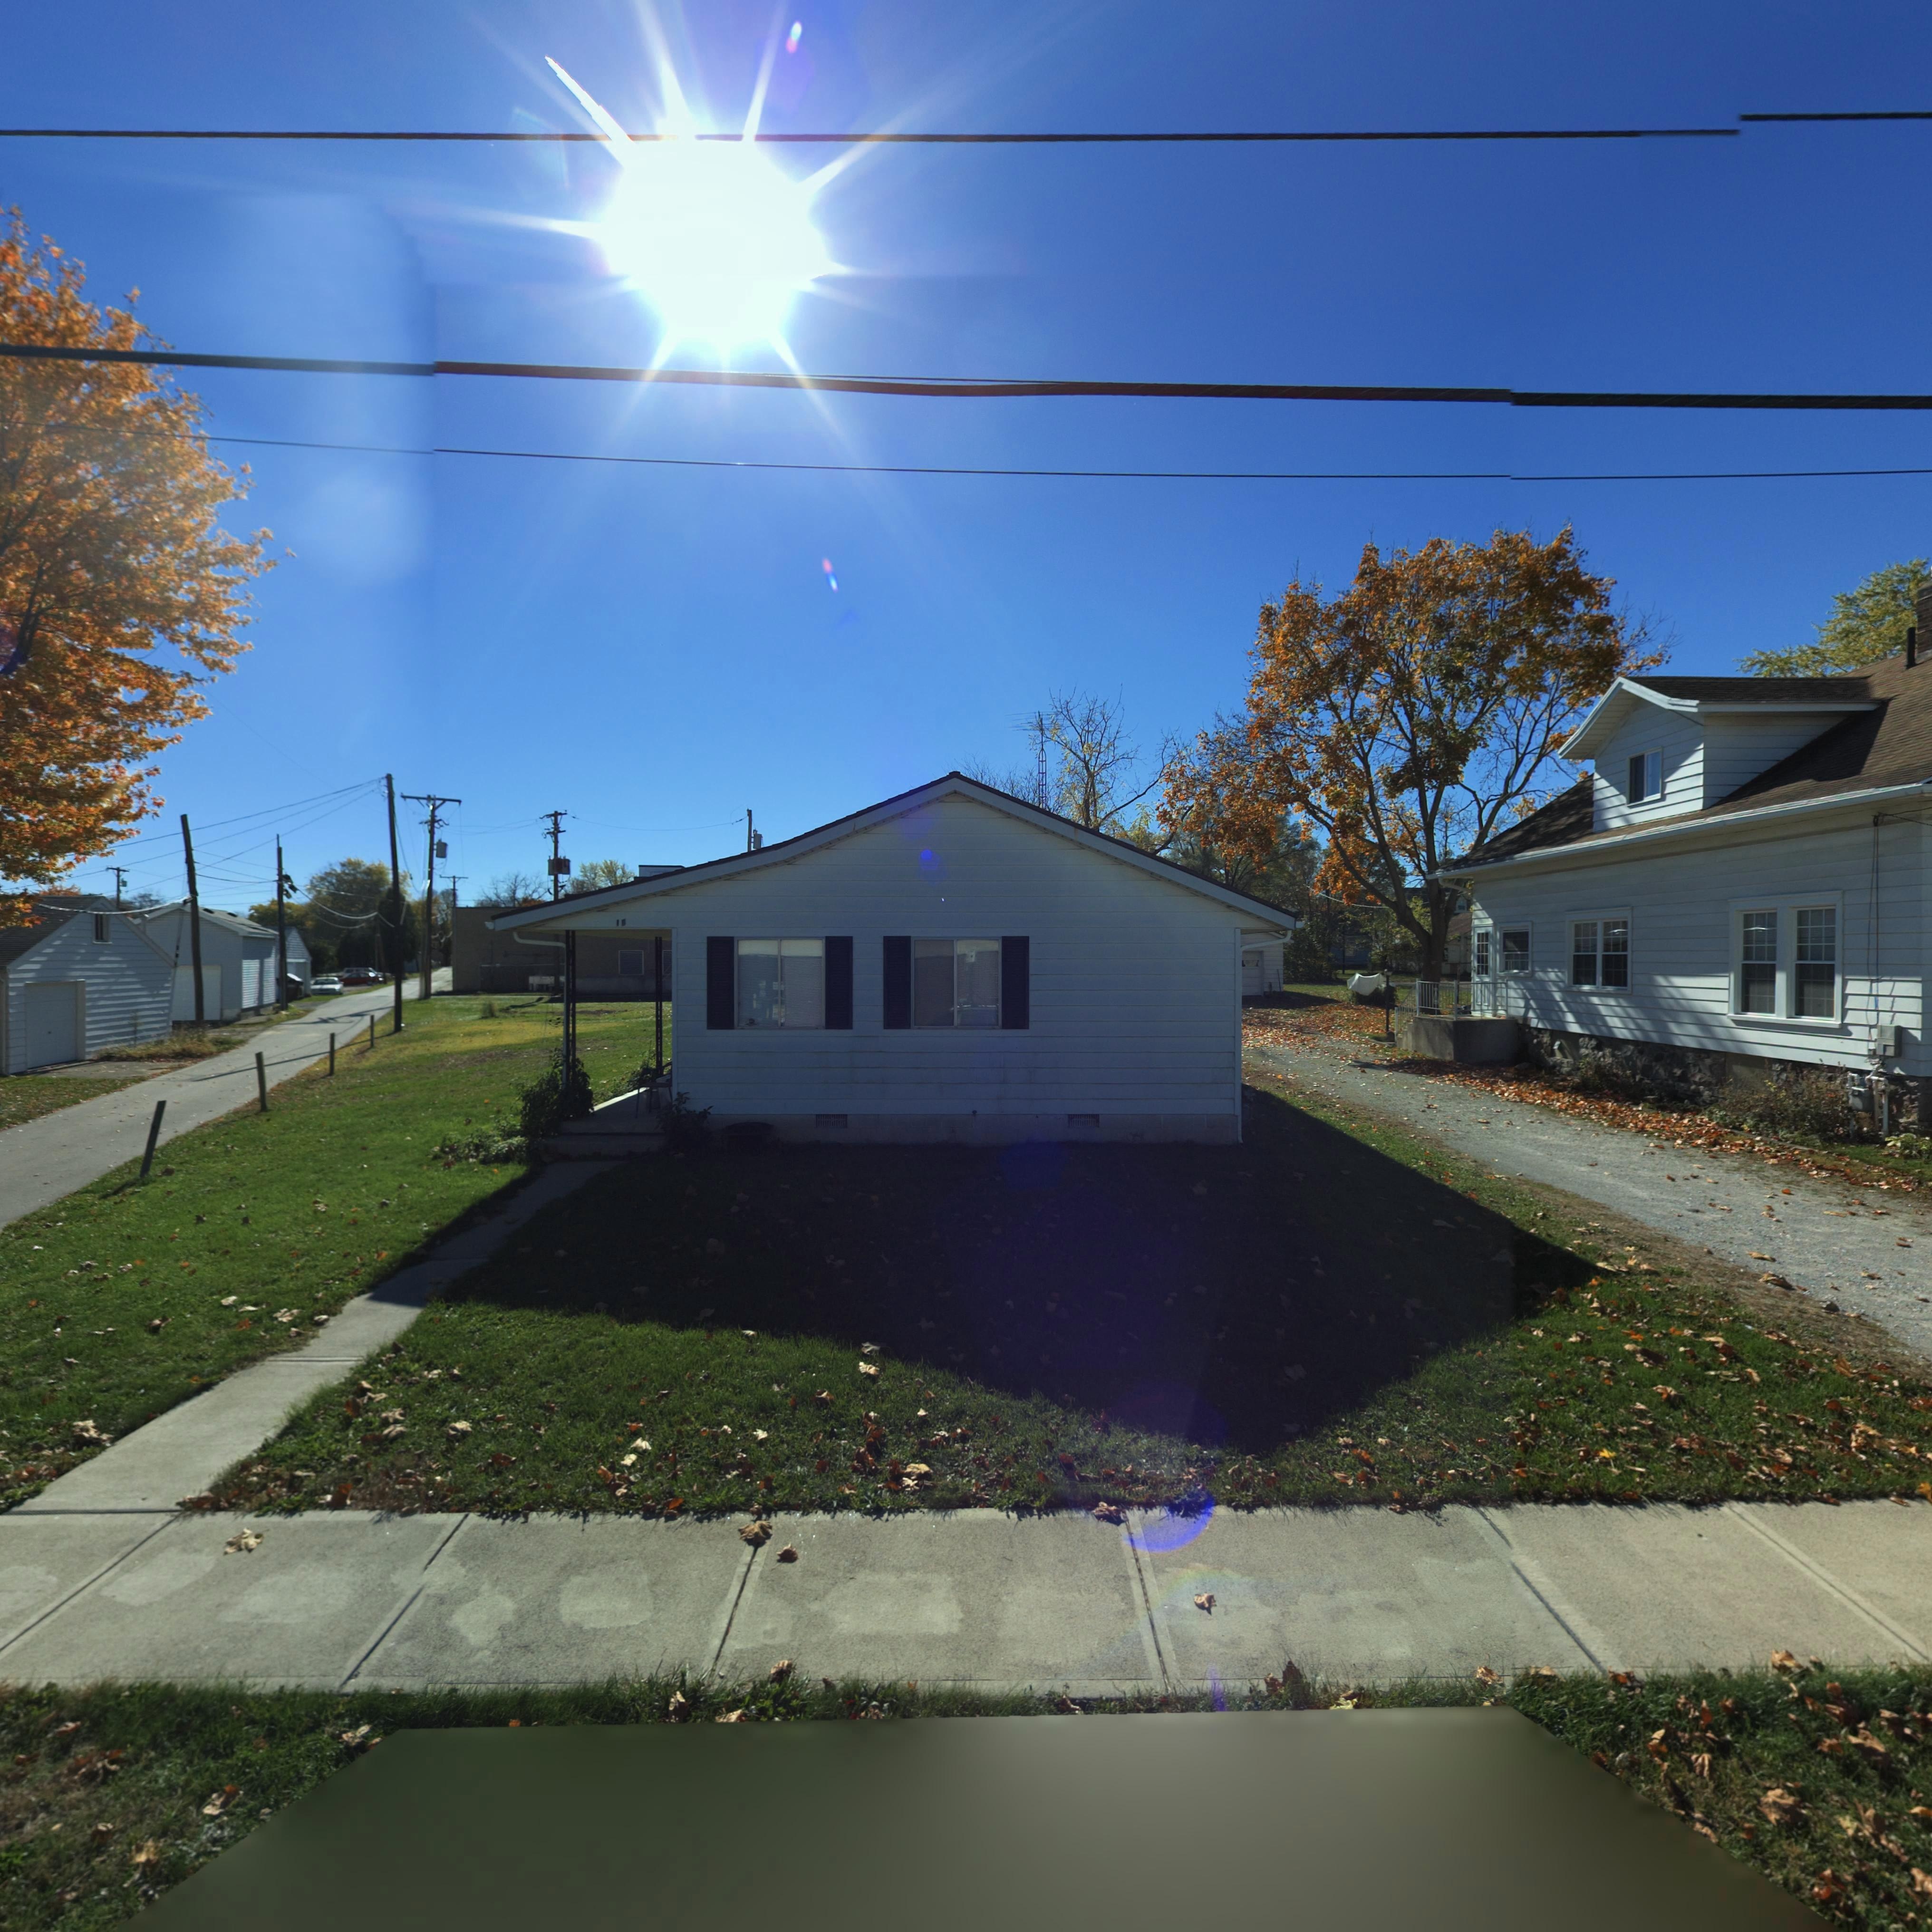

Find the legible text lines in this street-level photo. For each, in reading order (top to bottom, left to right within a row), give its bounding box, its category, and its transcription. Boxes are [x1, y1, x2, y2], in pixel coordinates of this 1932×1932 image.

[616, 918, 626, 927] StreetNumber: 1*